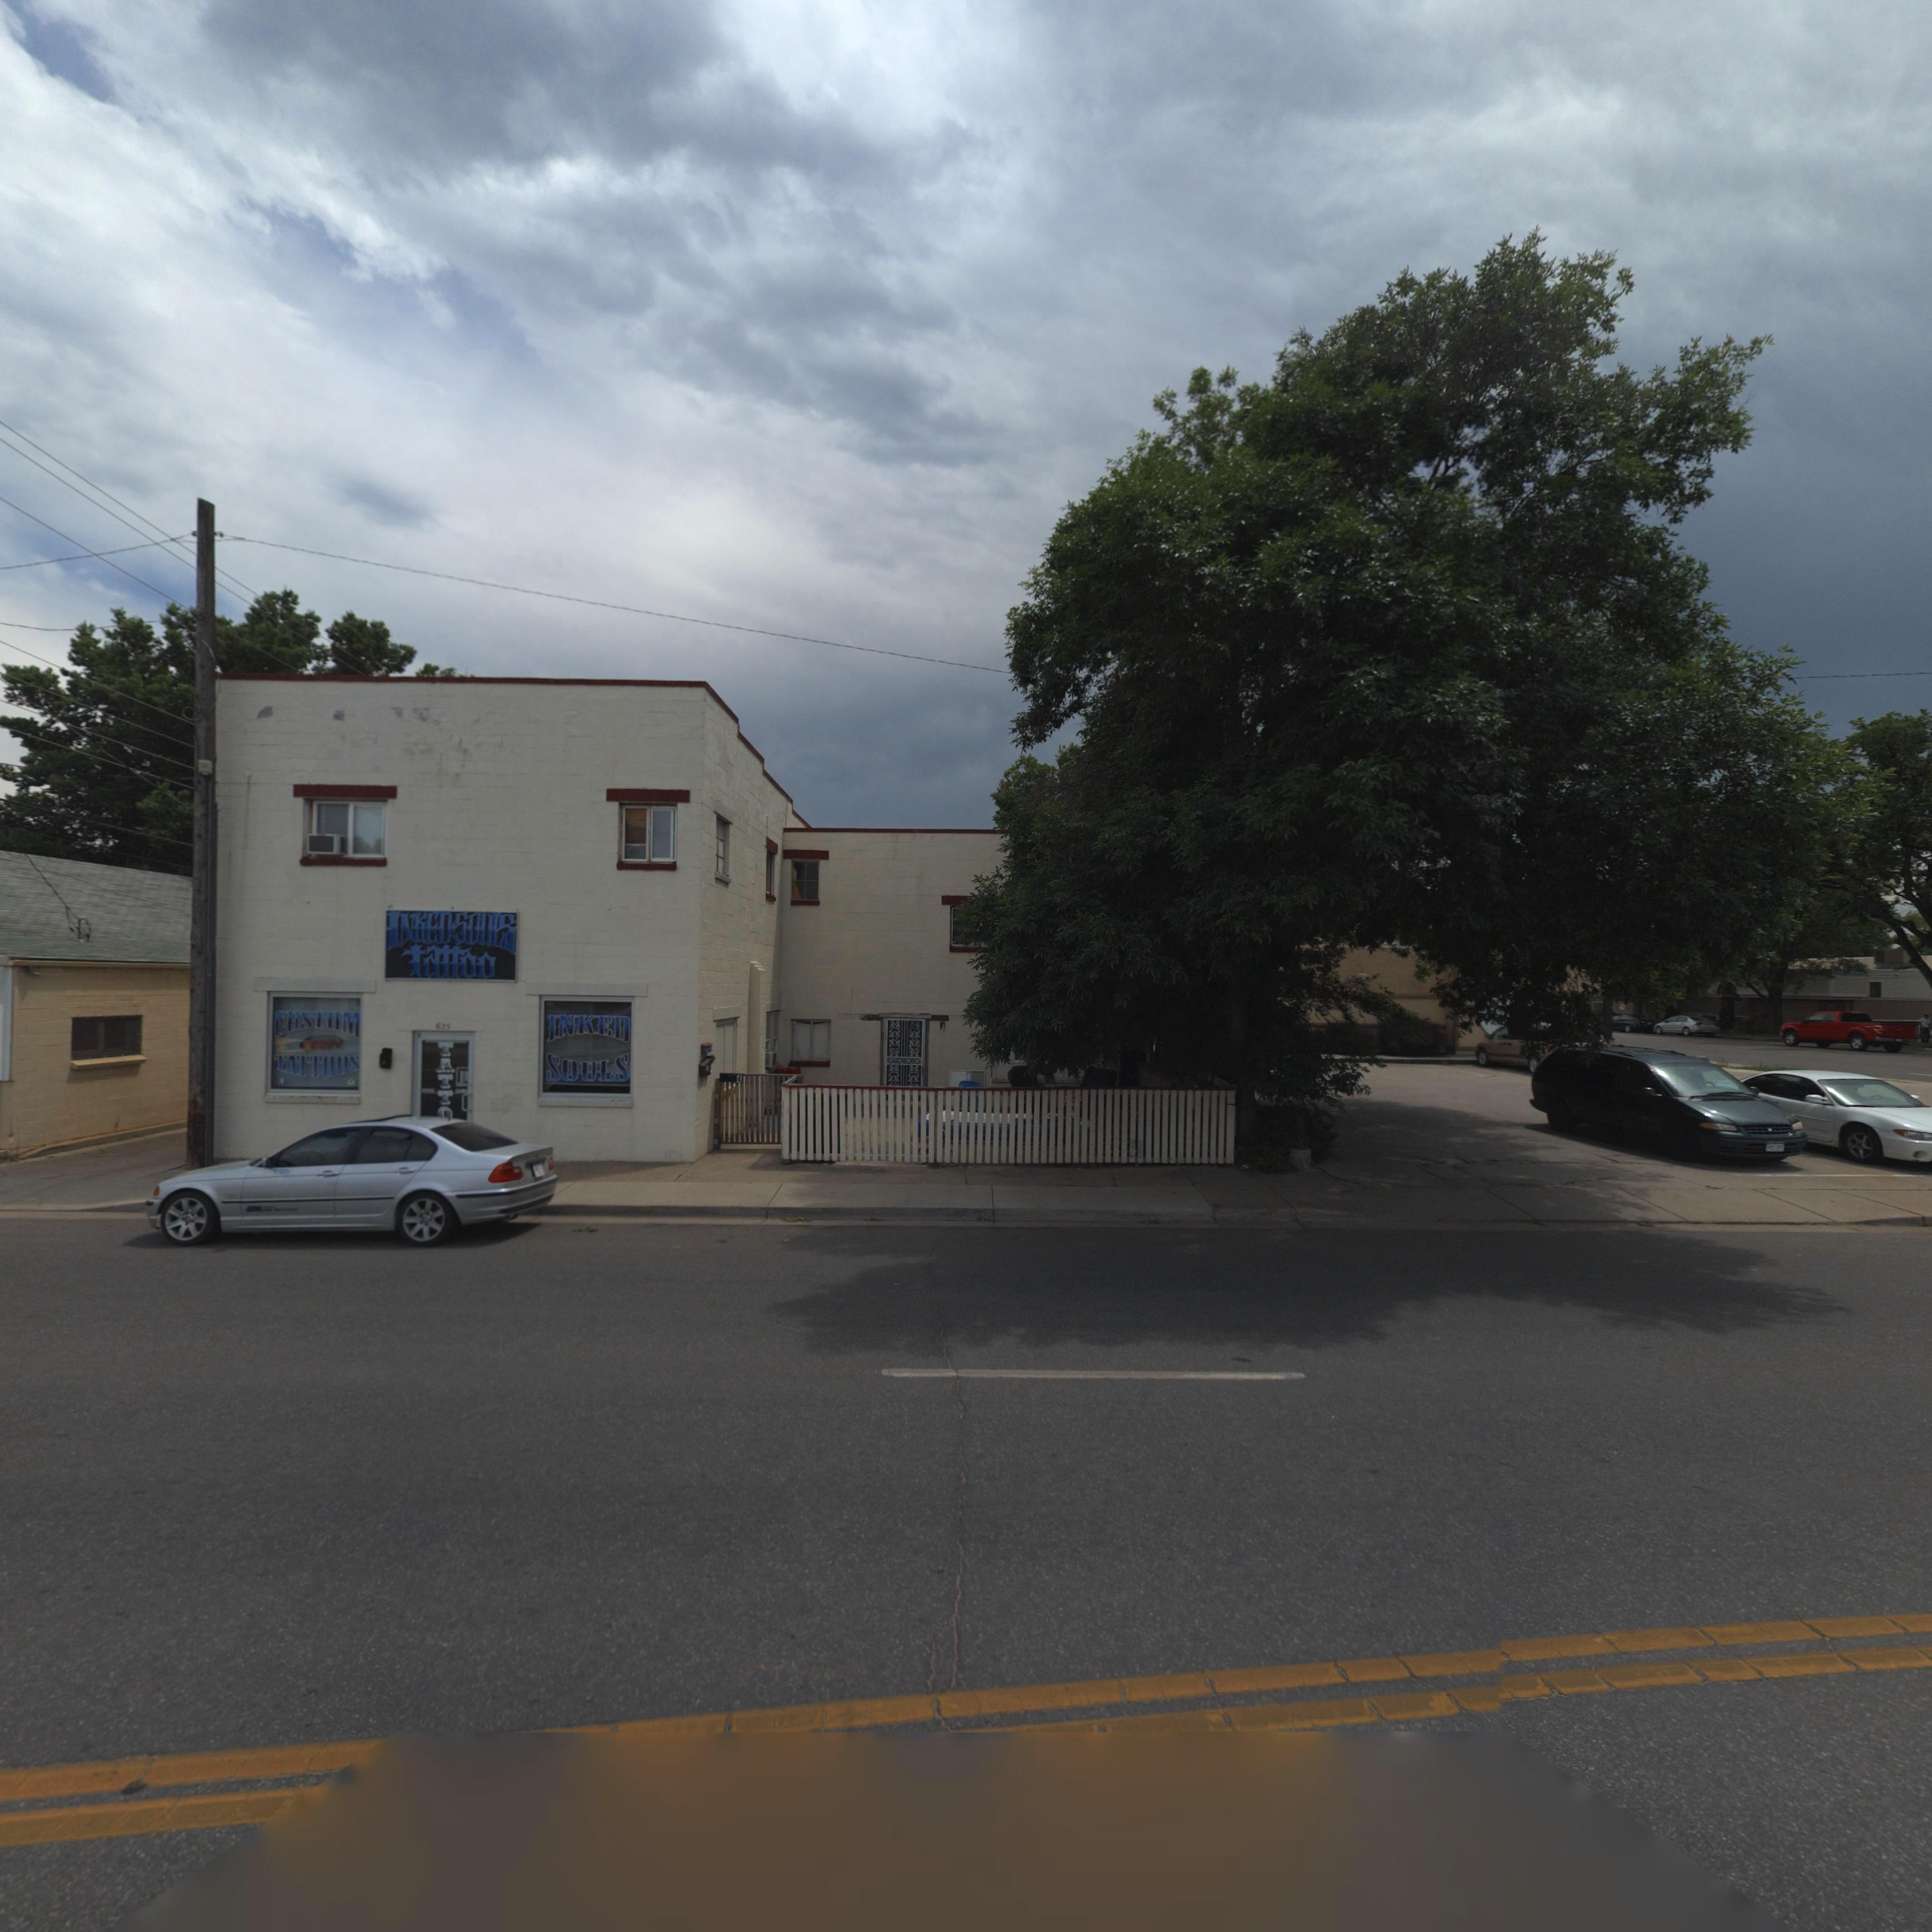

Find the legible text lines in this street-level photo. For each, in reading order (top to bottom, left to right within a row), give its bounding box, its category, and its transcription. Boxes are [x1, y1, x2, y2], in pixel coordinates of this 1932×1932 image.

[386, 910, 517, 956] BusinessName: INKED*SOULS
[401, 943, 497, 979] BusinessName: tattoo
[547, 1013, 630, 1044] BusinessName: INKED
[546, 1052, 629, 1082] BusinessName: SOULS
[736, 1074, 741, 1082] StreetNumber: 4